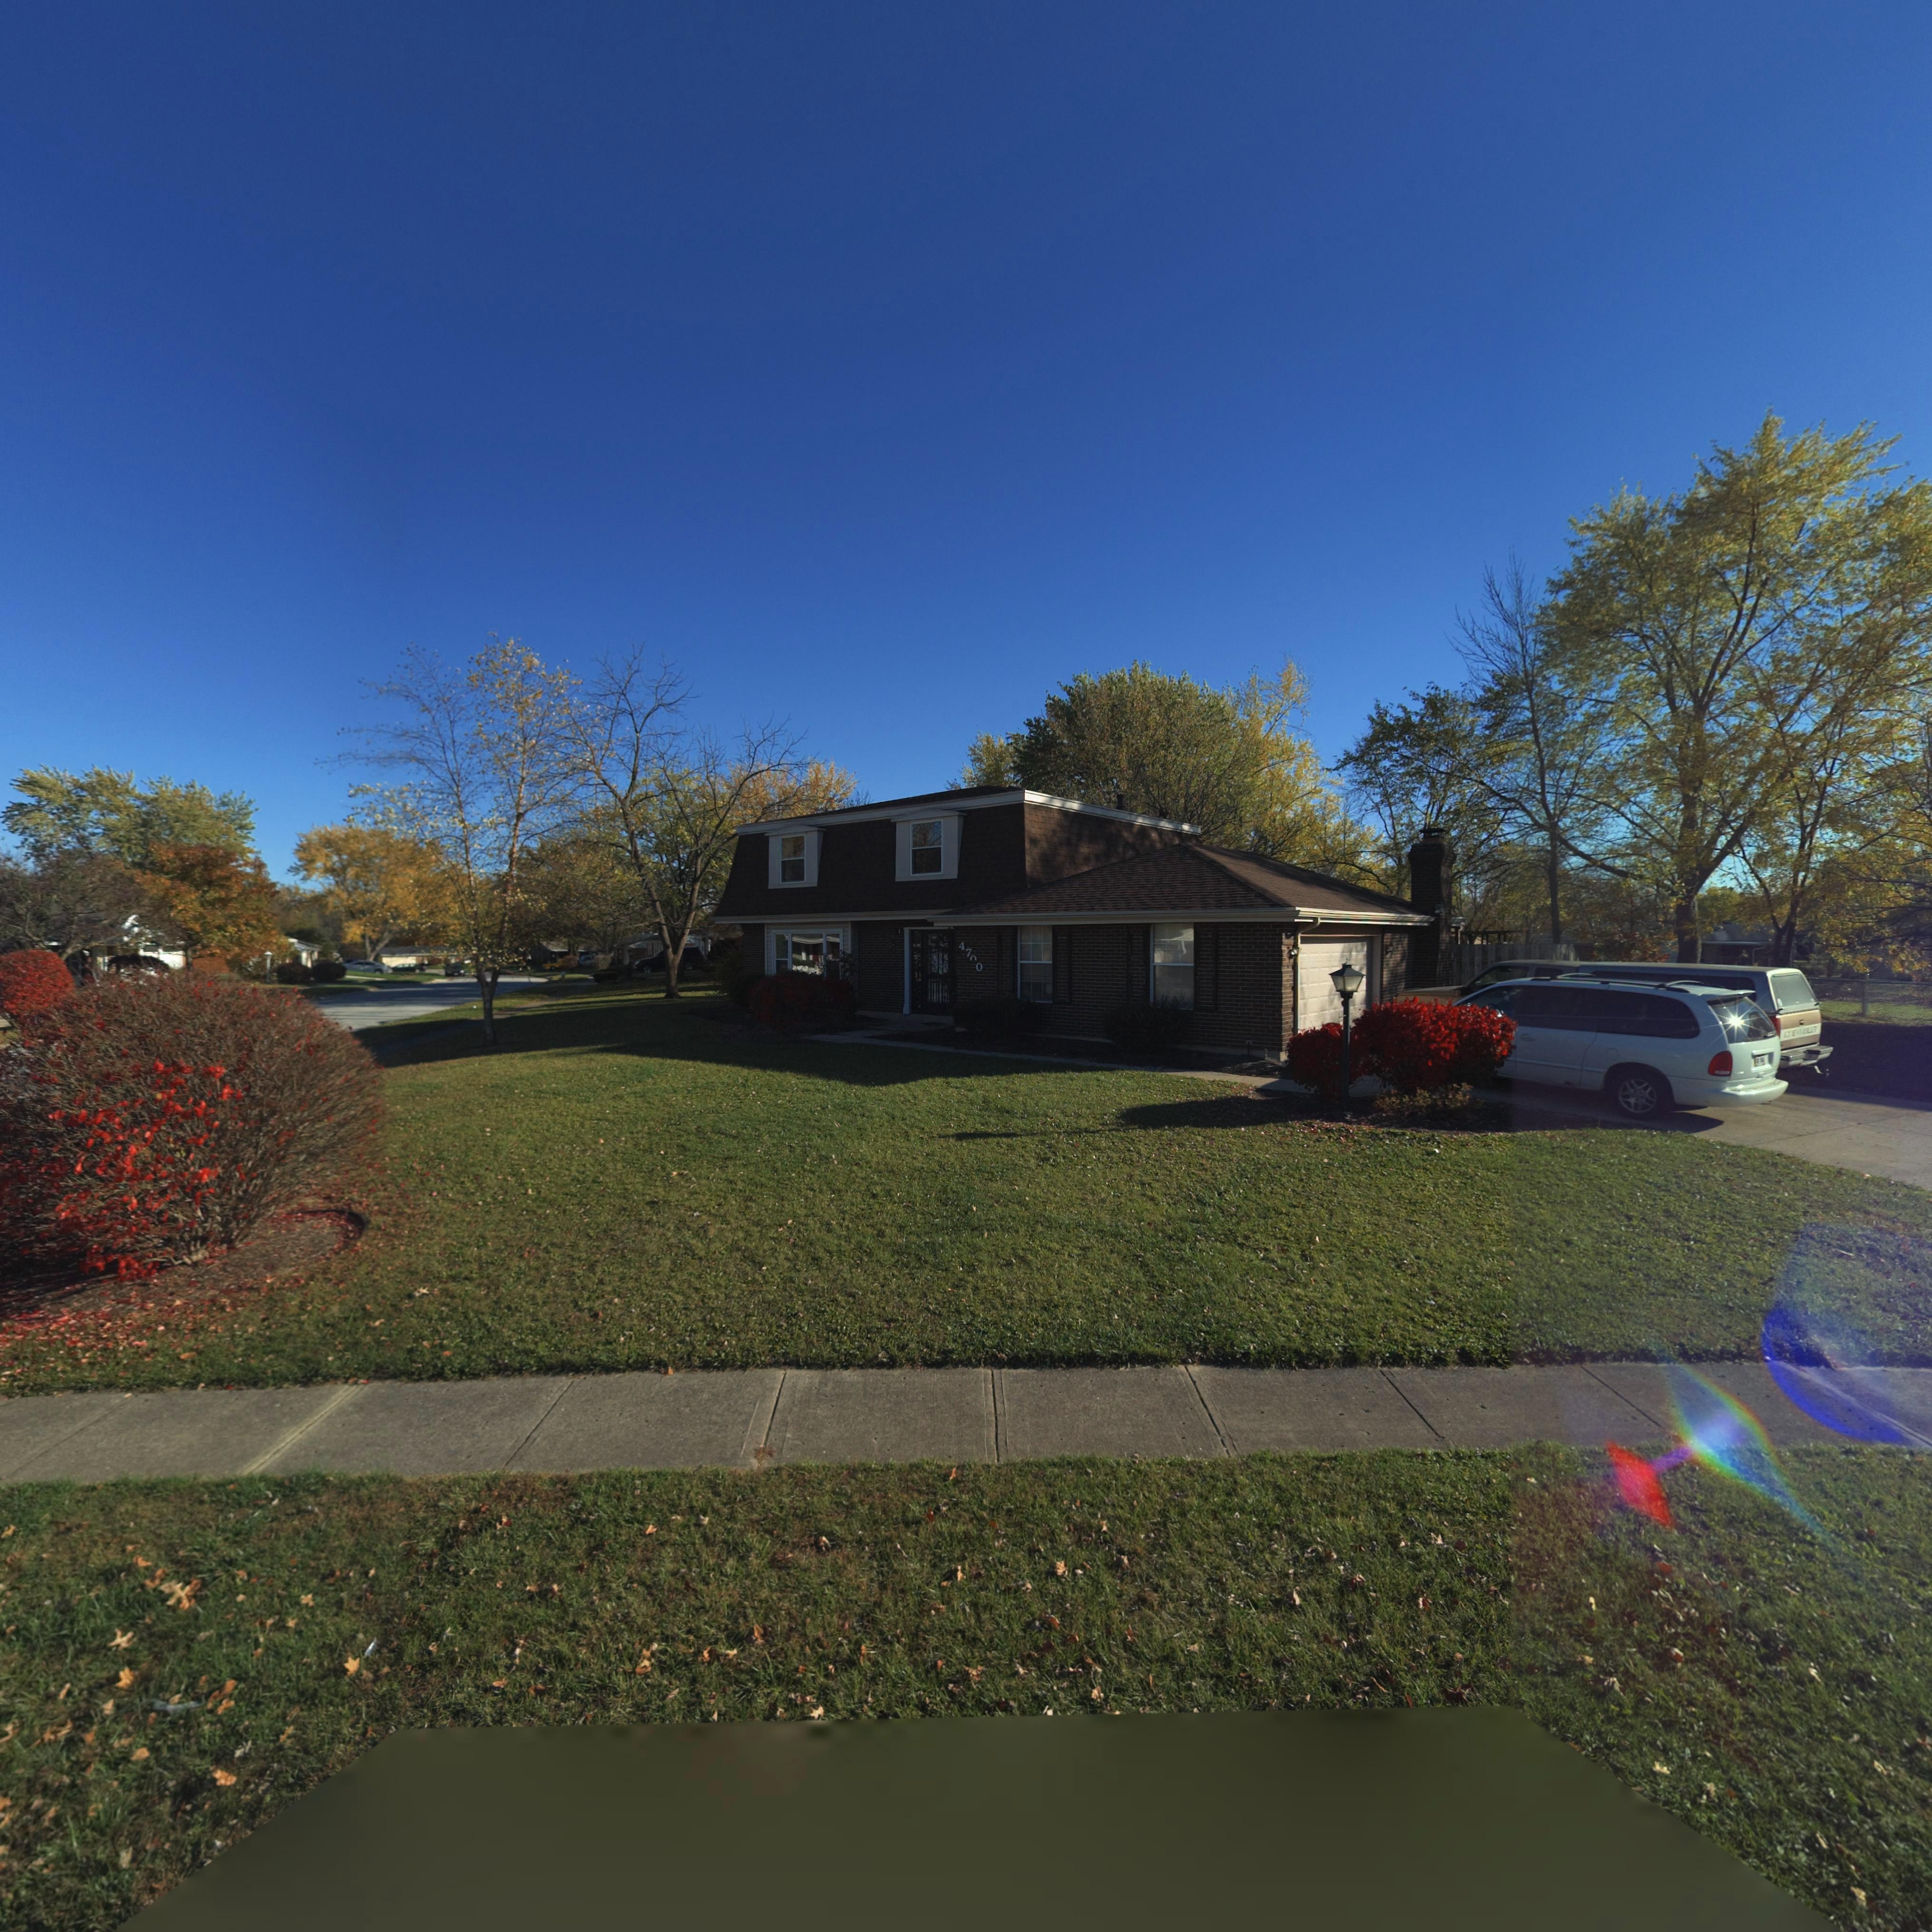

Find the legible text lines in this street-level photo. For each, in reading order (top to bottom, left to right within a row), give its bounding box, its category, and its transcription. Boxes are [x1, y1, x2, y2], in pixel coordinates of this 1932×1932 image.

[957, 939, 984, 973] StreetNumber: 47*0